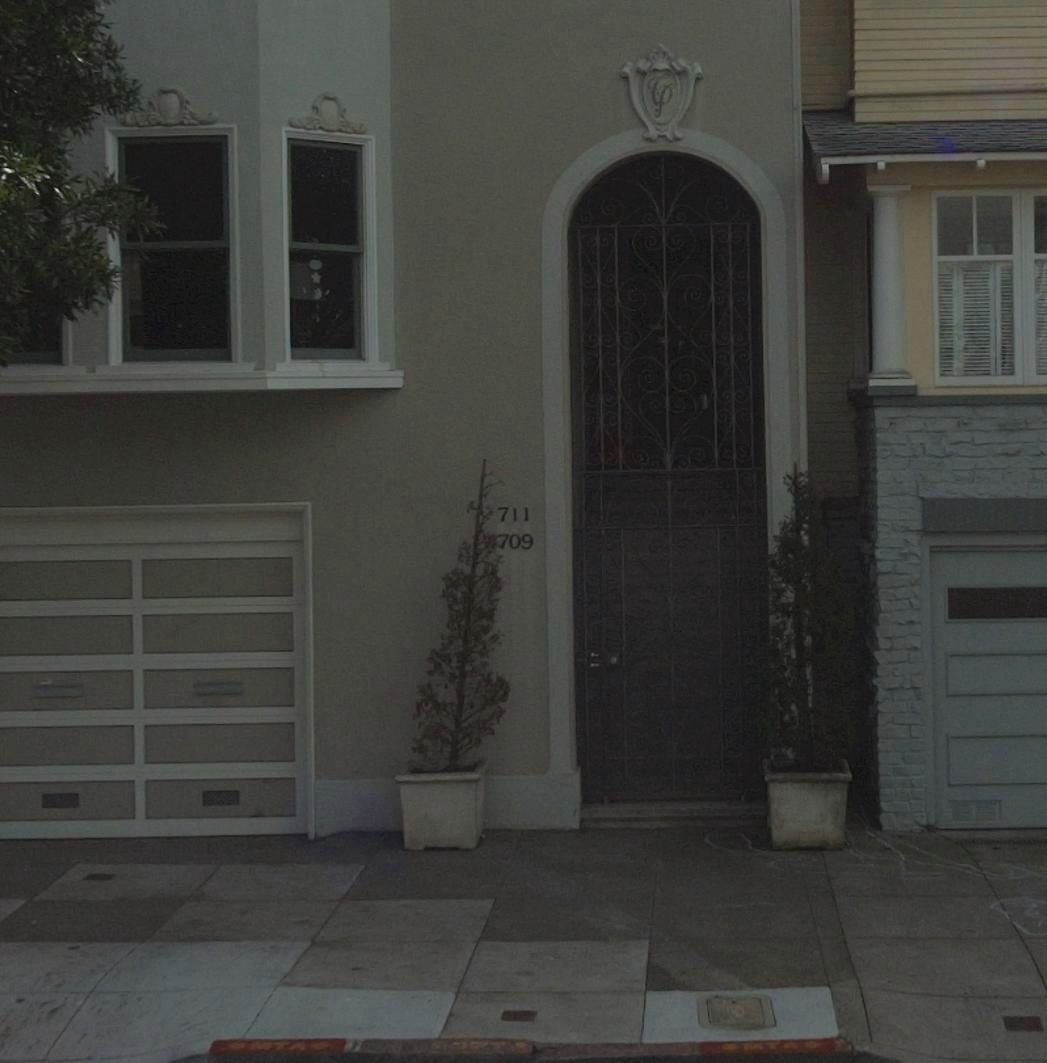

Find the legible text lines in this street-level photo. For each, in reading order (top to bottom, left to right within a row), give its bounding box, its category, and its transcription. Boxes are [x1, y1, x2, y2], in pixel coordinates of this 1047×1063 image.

[496, 506, 531, 523] StreetNumber: 711
[496, 532, 533, 550] StreetNumber: 709